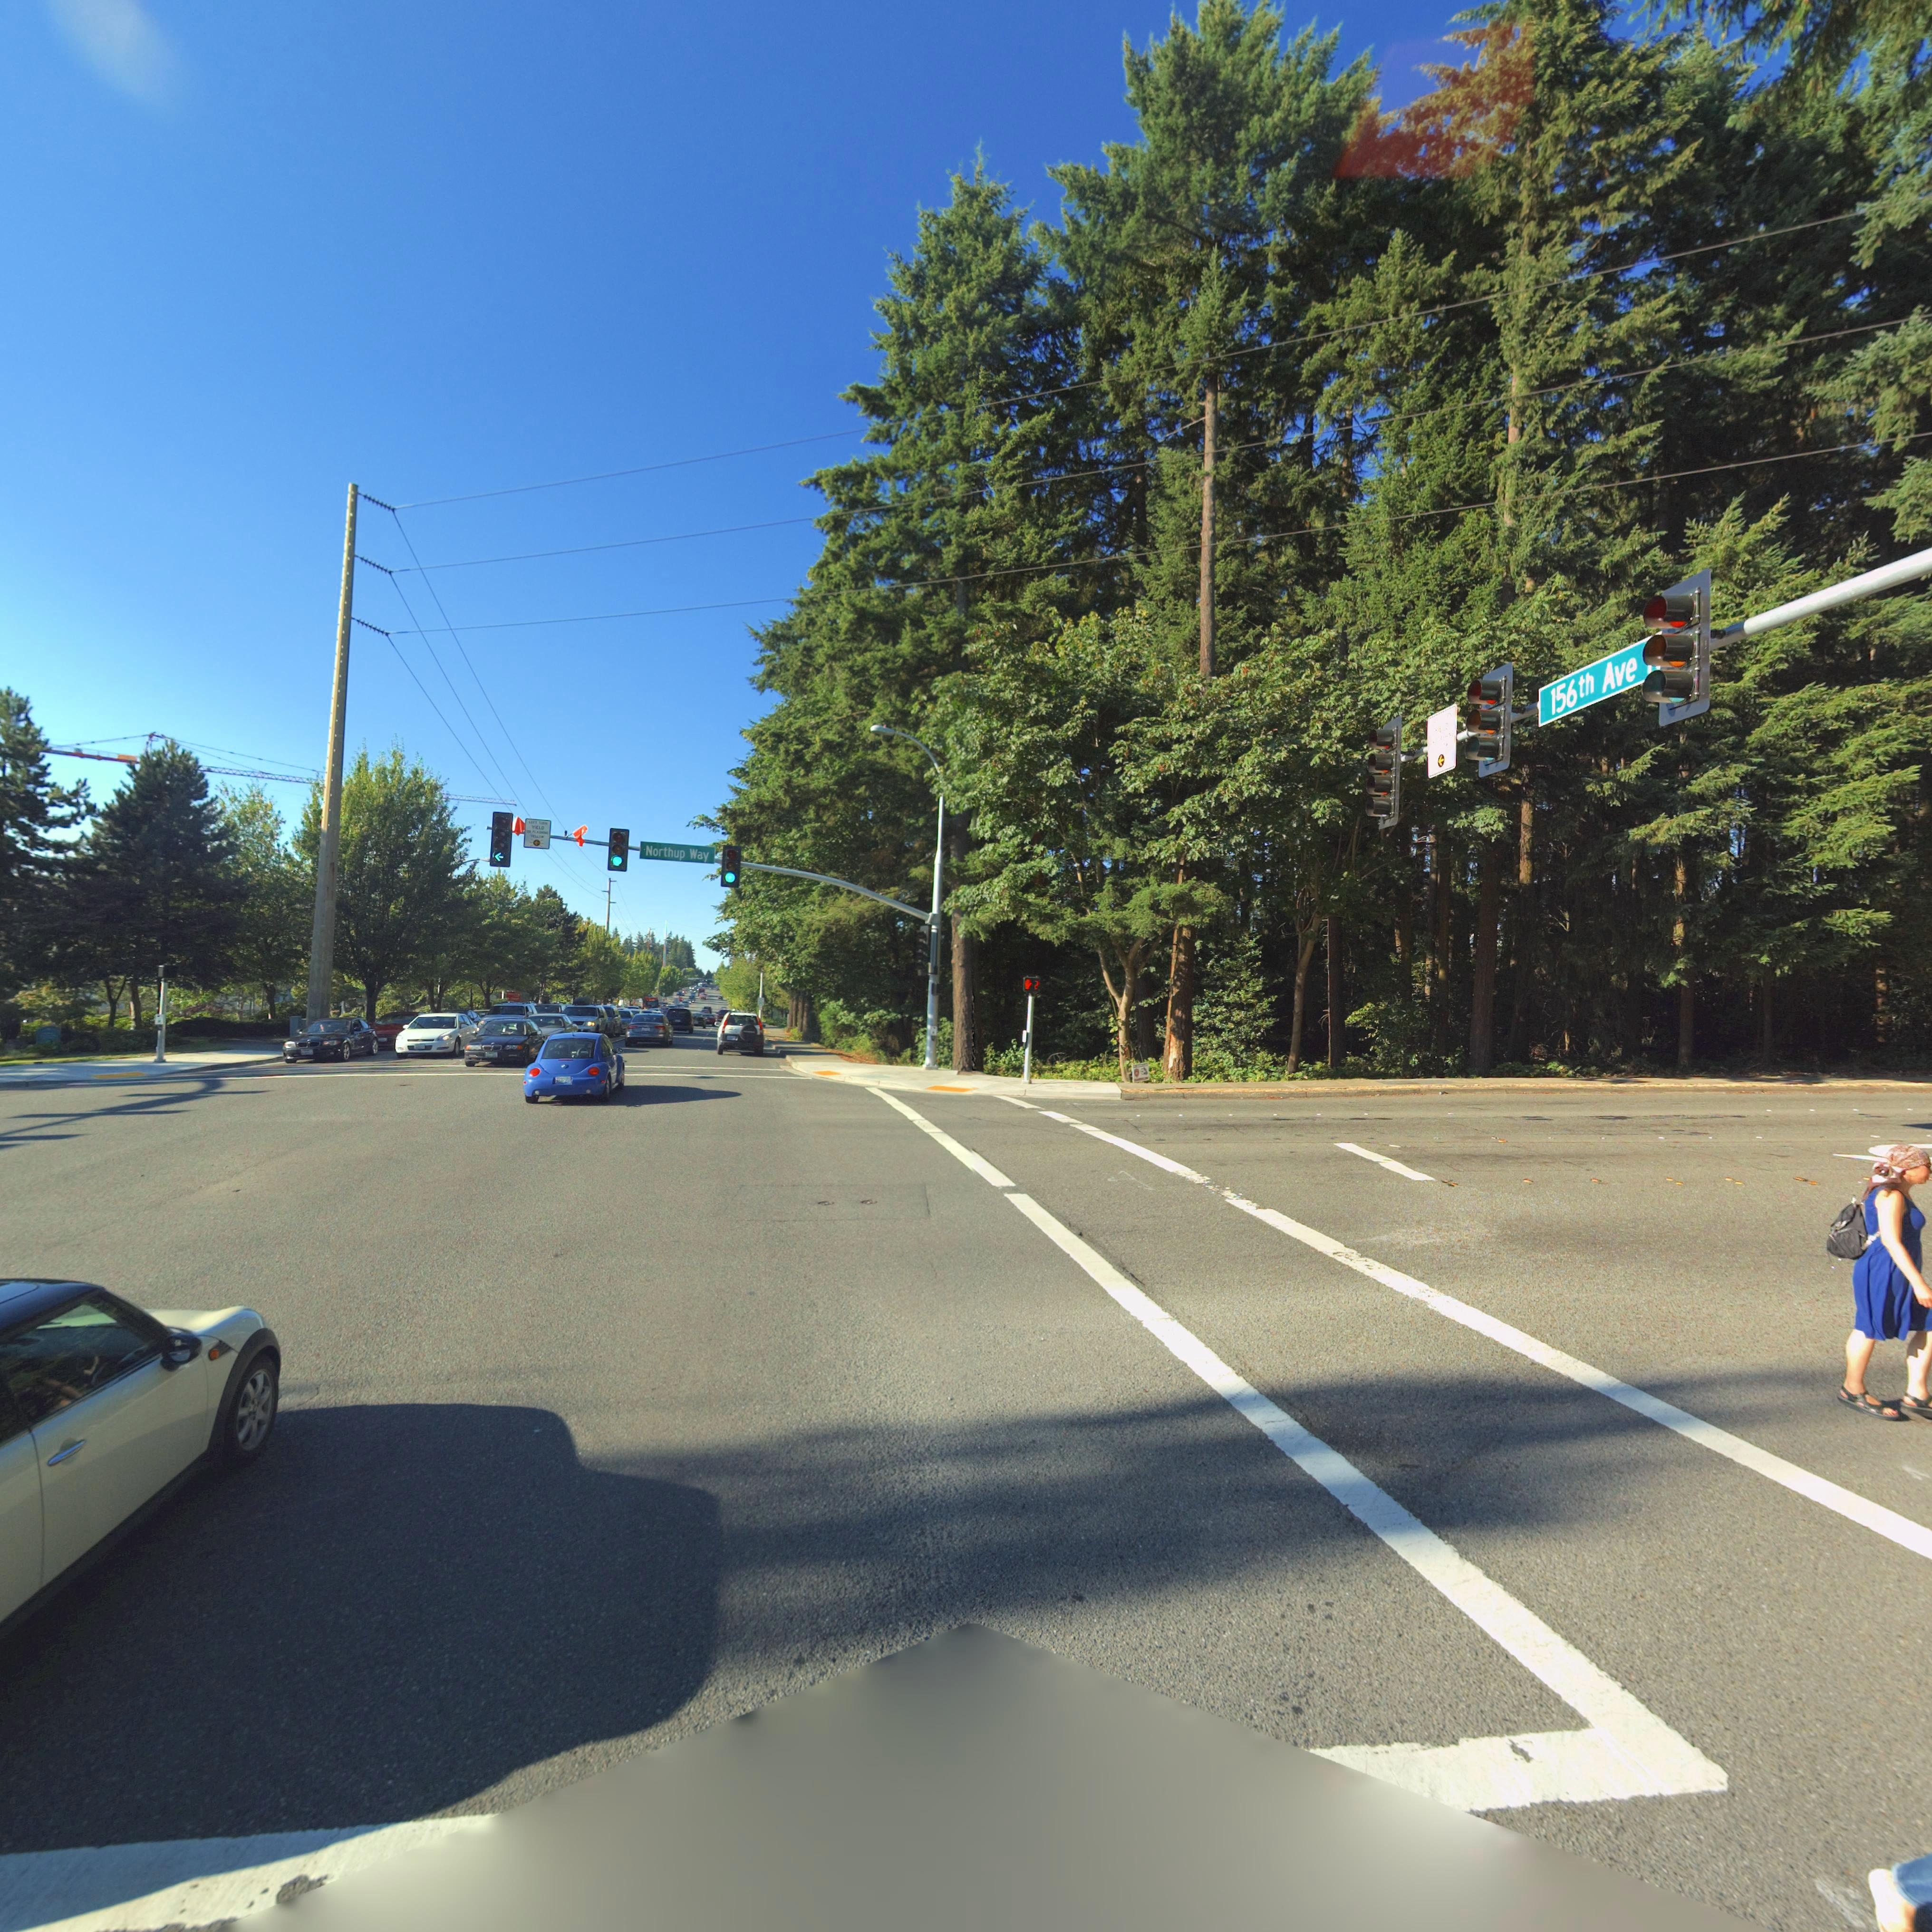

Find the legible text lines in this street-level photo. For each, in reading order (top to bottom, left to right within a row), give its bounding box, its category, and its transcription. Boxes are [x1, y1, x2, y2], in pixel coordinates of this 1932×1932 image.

[1549, 651, 1636, 716] StreetName: 156th Ave
[644, 843, 709, 862] StreetName: Northup Way